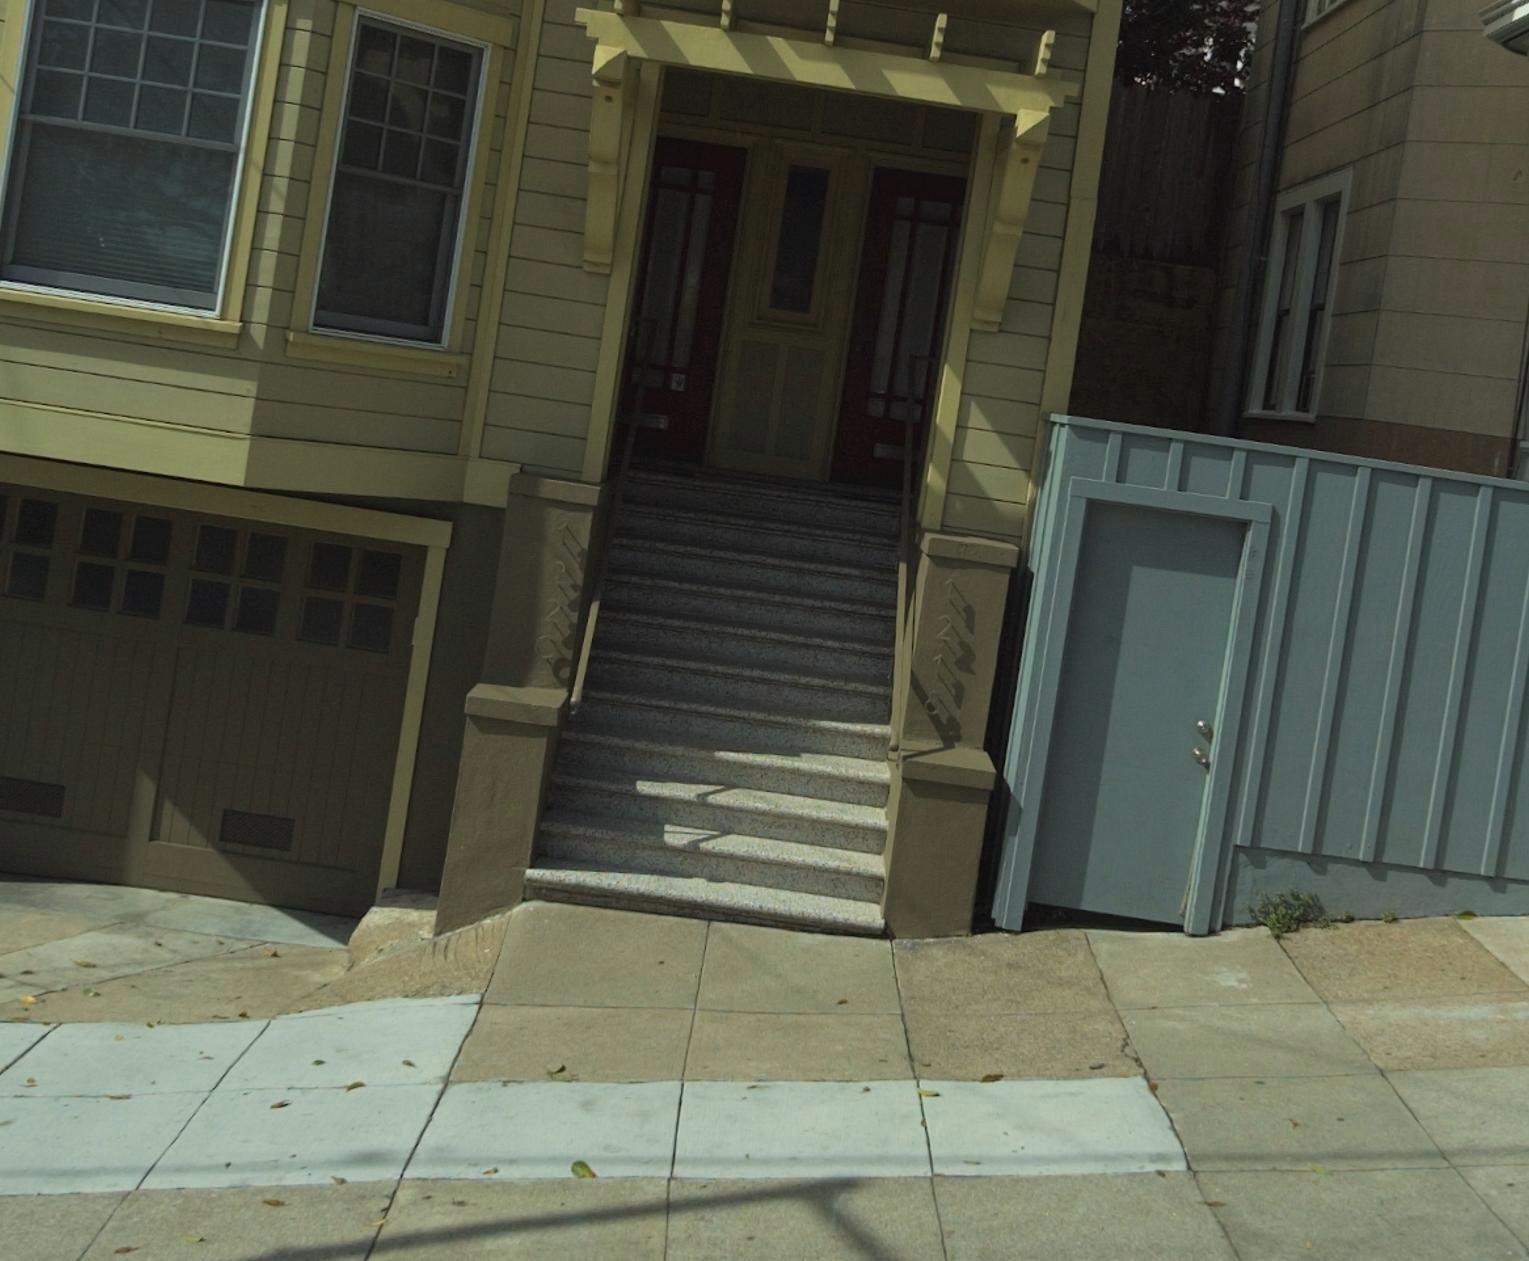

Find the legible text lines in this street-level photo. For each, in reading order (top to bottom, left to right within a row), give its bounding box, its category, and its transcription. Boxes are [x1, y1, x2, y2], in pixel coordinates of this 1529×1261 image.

[530, 520, 574, 664] StreetNumber: 1220
[917, 574, 960, 722] StreetNumber: 1218